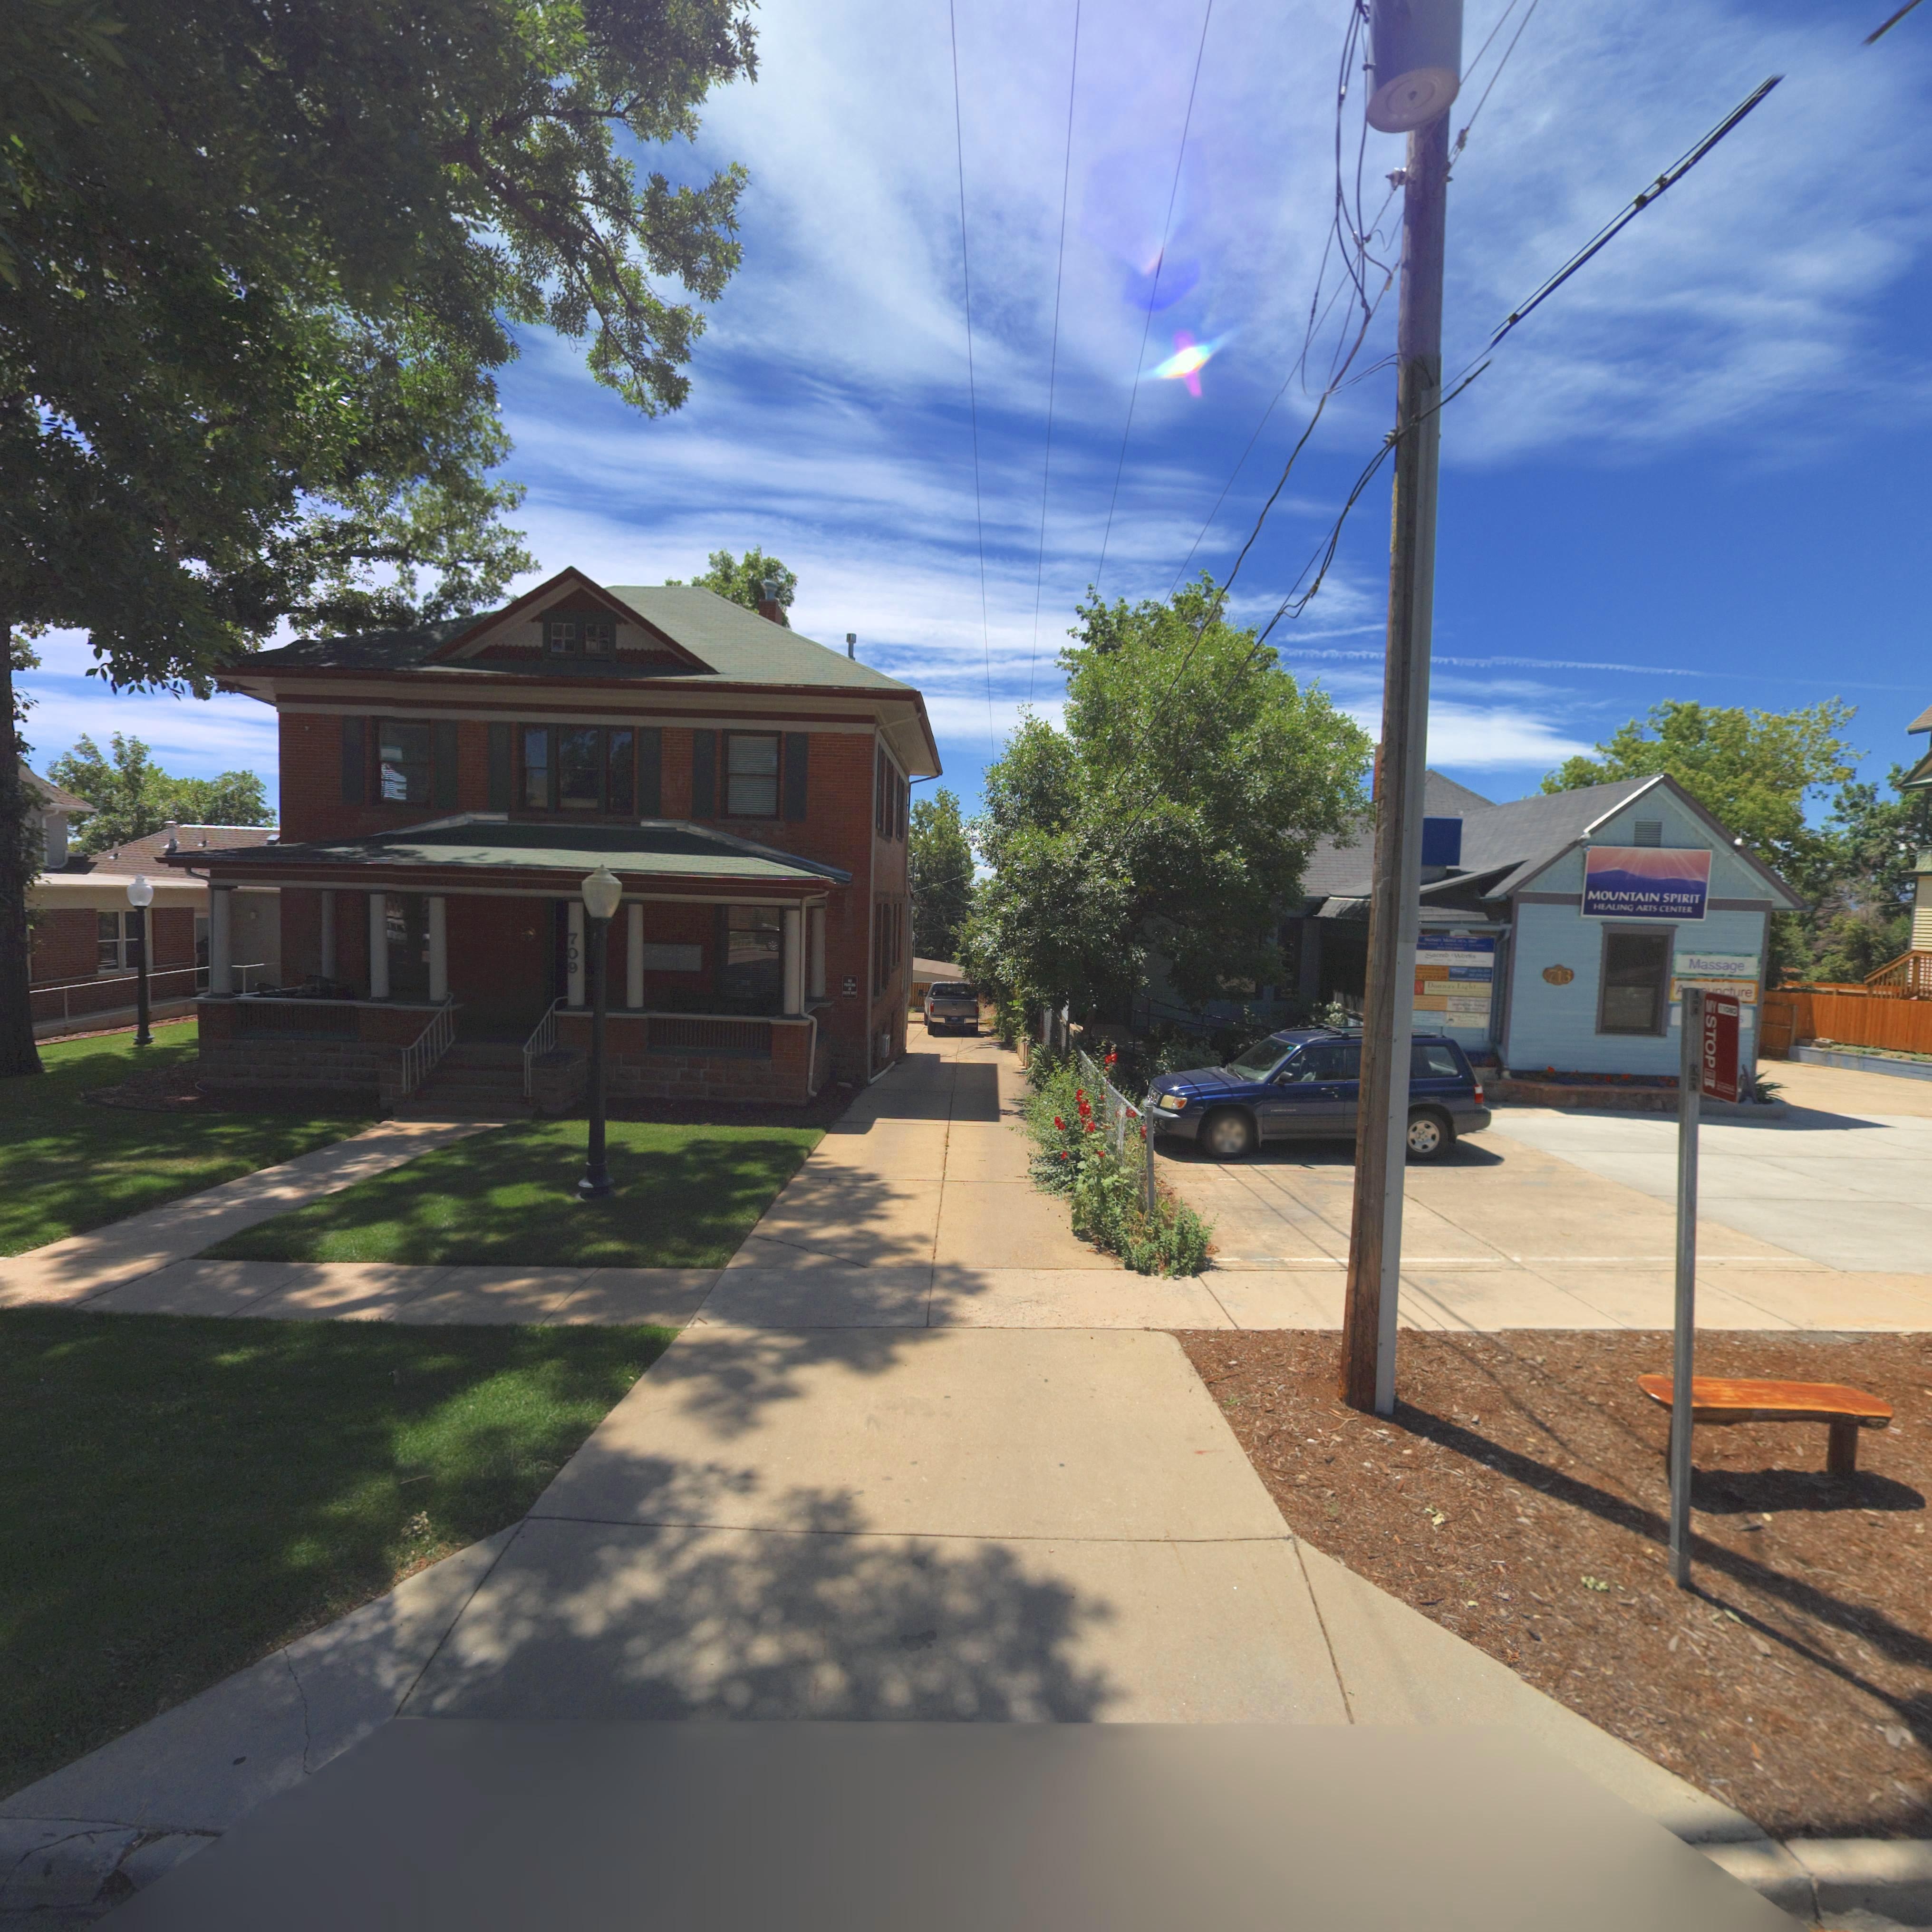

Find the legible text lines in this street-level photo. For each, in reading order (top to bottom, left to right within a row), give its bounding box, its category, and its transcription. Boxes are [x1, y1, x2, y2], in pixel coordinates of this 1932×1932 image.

[1587, 889, 1701, 904] BusinessName: MOUNTAIN SPIRIT
[1593, 902, 1692, 913] BusinessName: HEALING ARTS CENTER
[567, 931, 579, 975] StreetNumber: 709
[1548, 969, 1571, 982] StreetNumber: 713